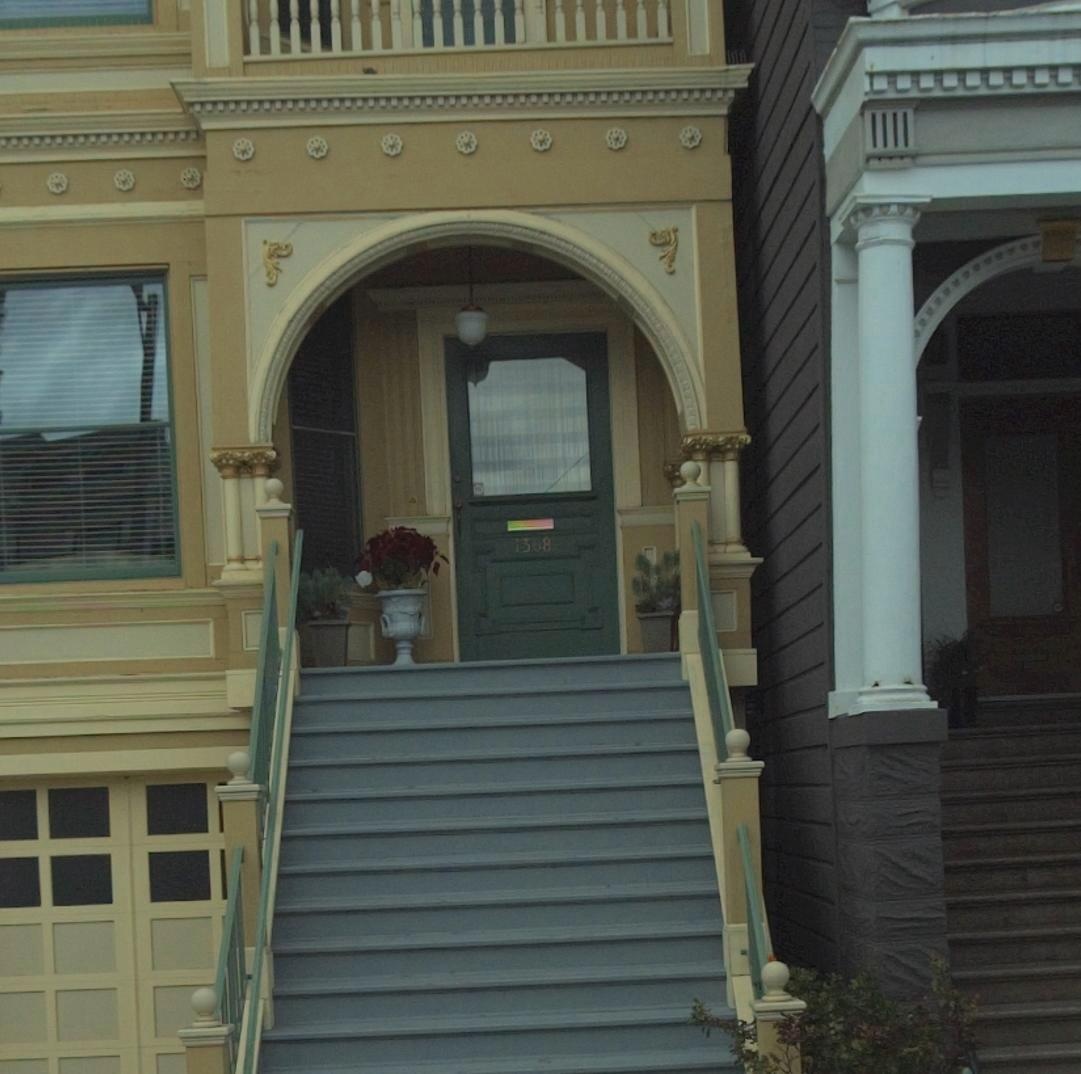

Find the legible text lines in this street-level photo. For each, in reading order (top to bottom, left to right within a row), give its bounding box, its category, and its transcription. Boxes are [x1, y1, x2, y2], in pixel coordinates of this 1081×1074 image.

[514, 536, 552, 554] StreetNumber: 1368